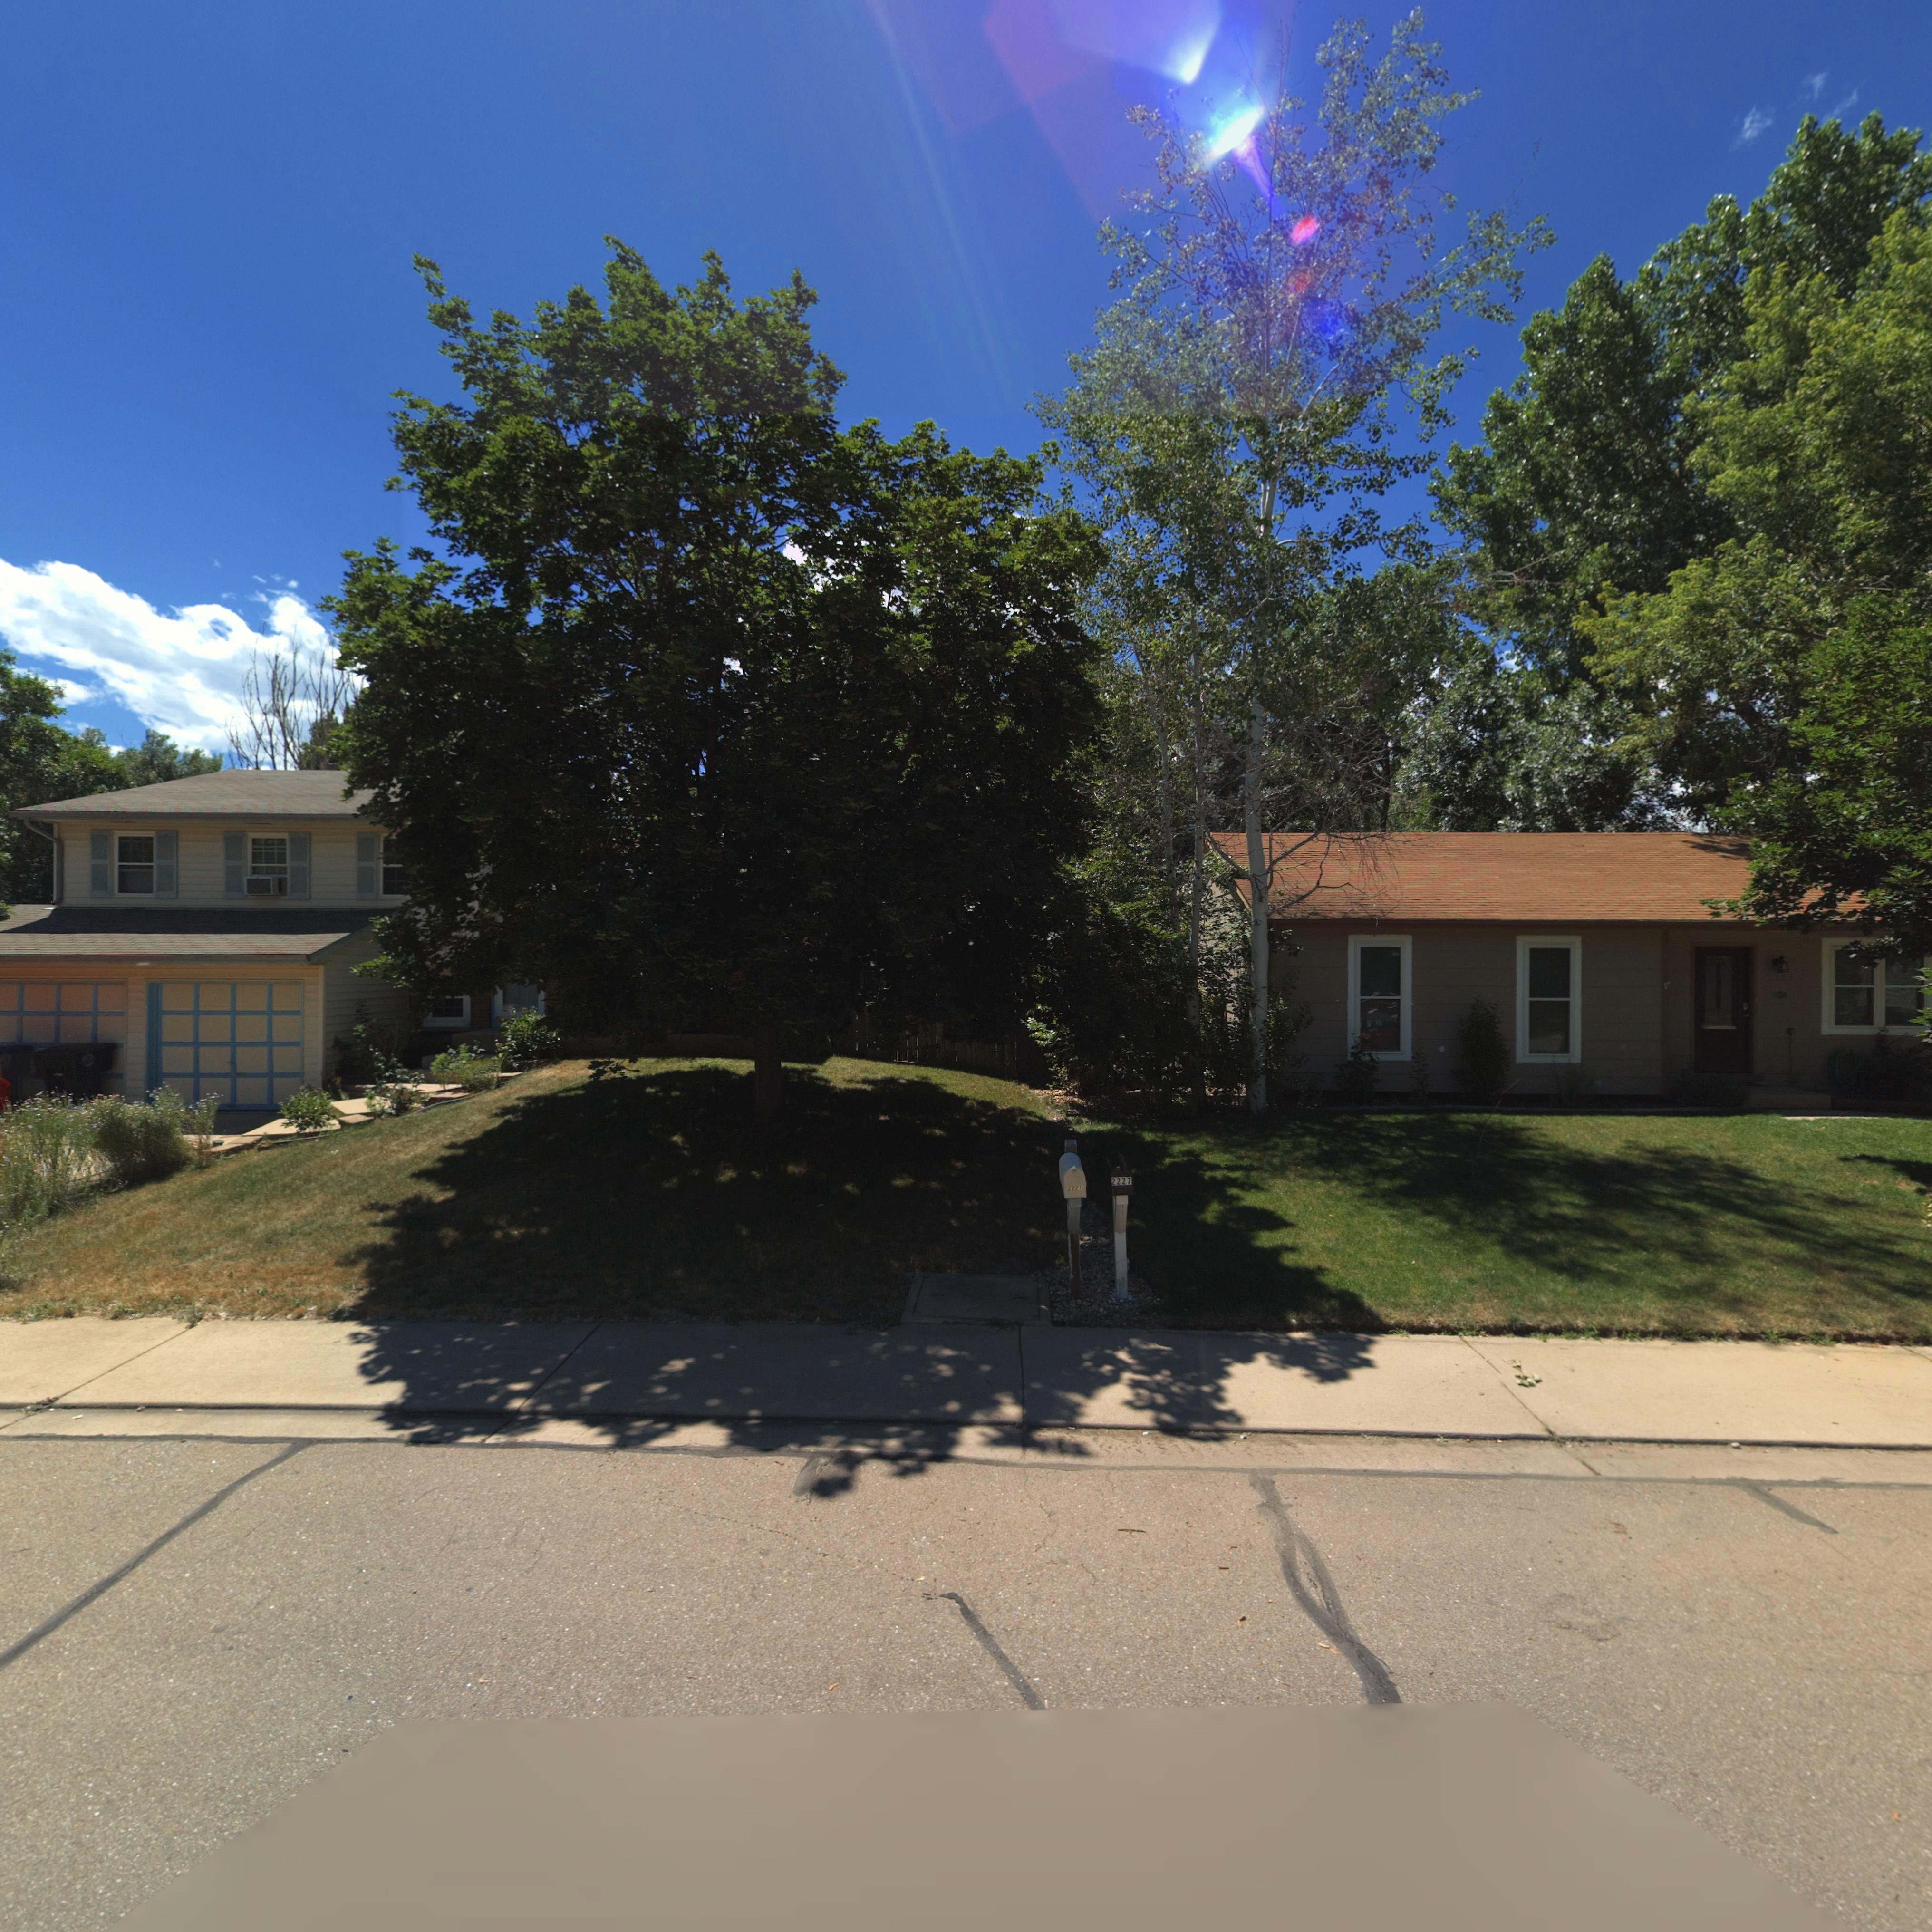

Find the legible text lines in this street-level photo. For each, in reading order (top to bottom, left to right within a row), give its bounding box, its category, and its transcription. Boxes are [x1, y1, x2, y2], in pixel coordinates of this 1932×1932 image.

[1111, 1177, 1131, 1185] StreetNumber: 2227
[1068, 1186, 1081, 1190] StreetNumber: 2221